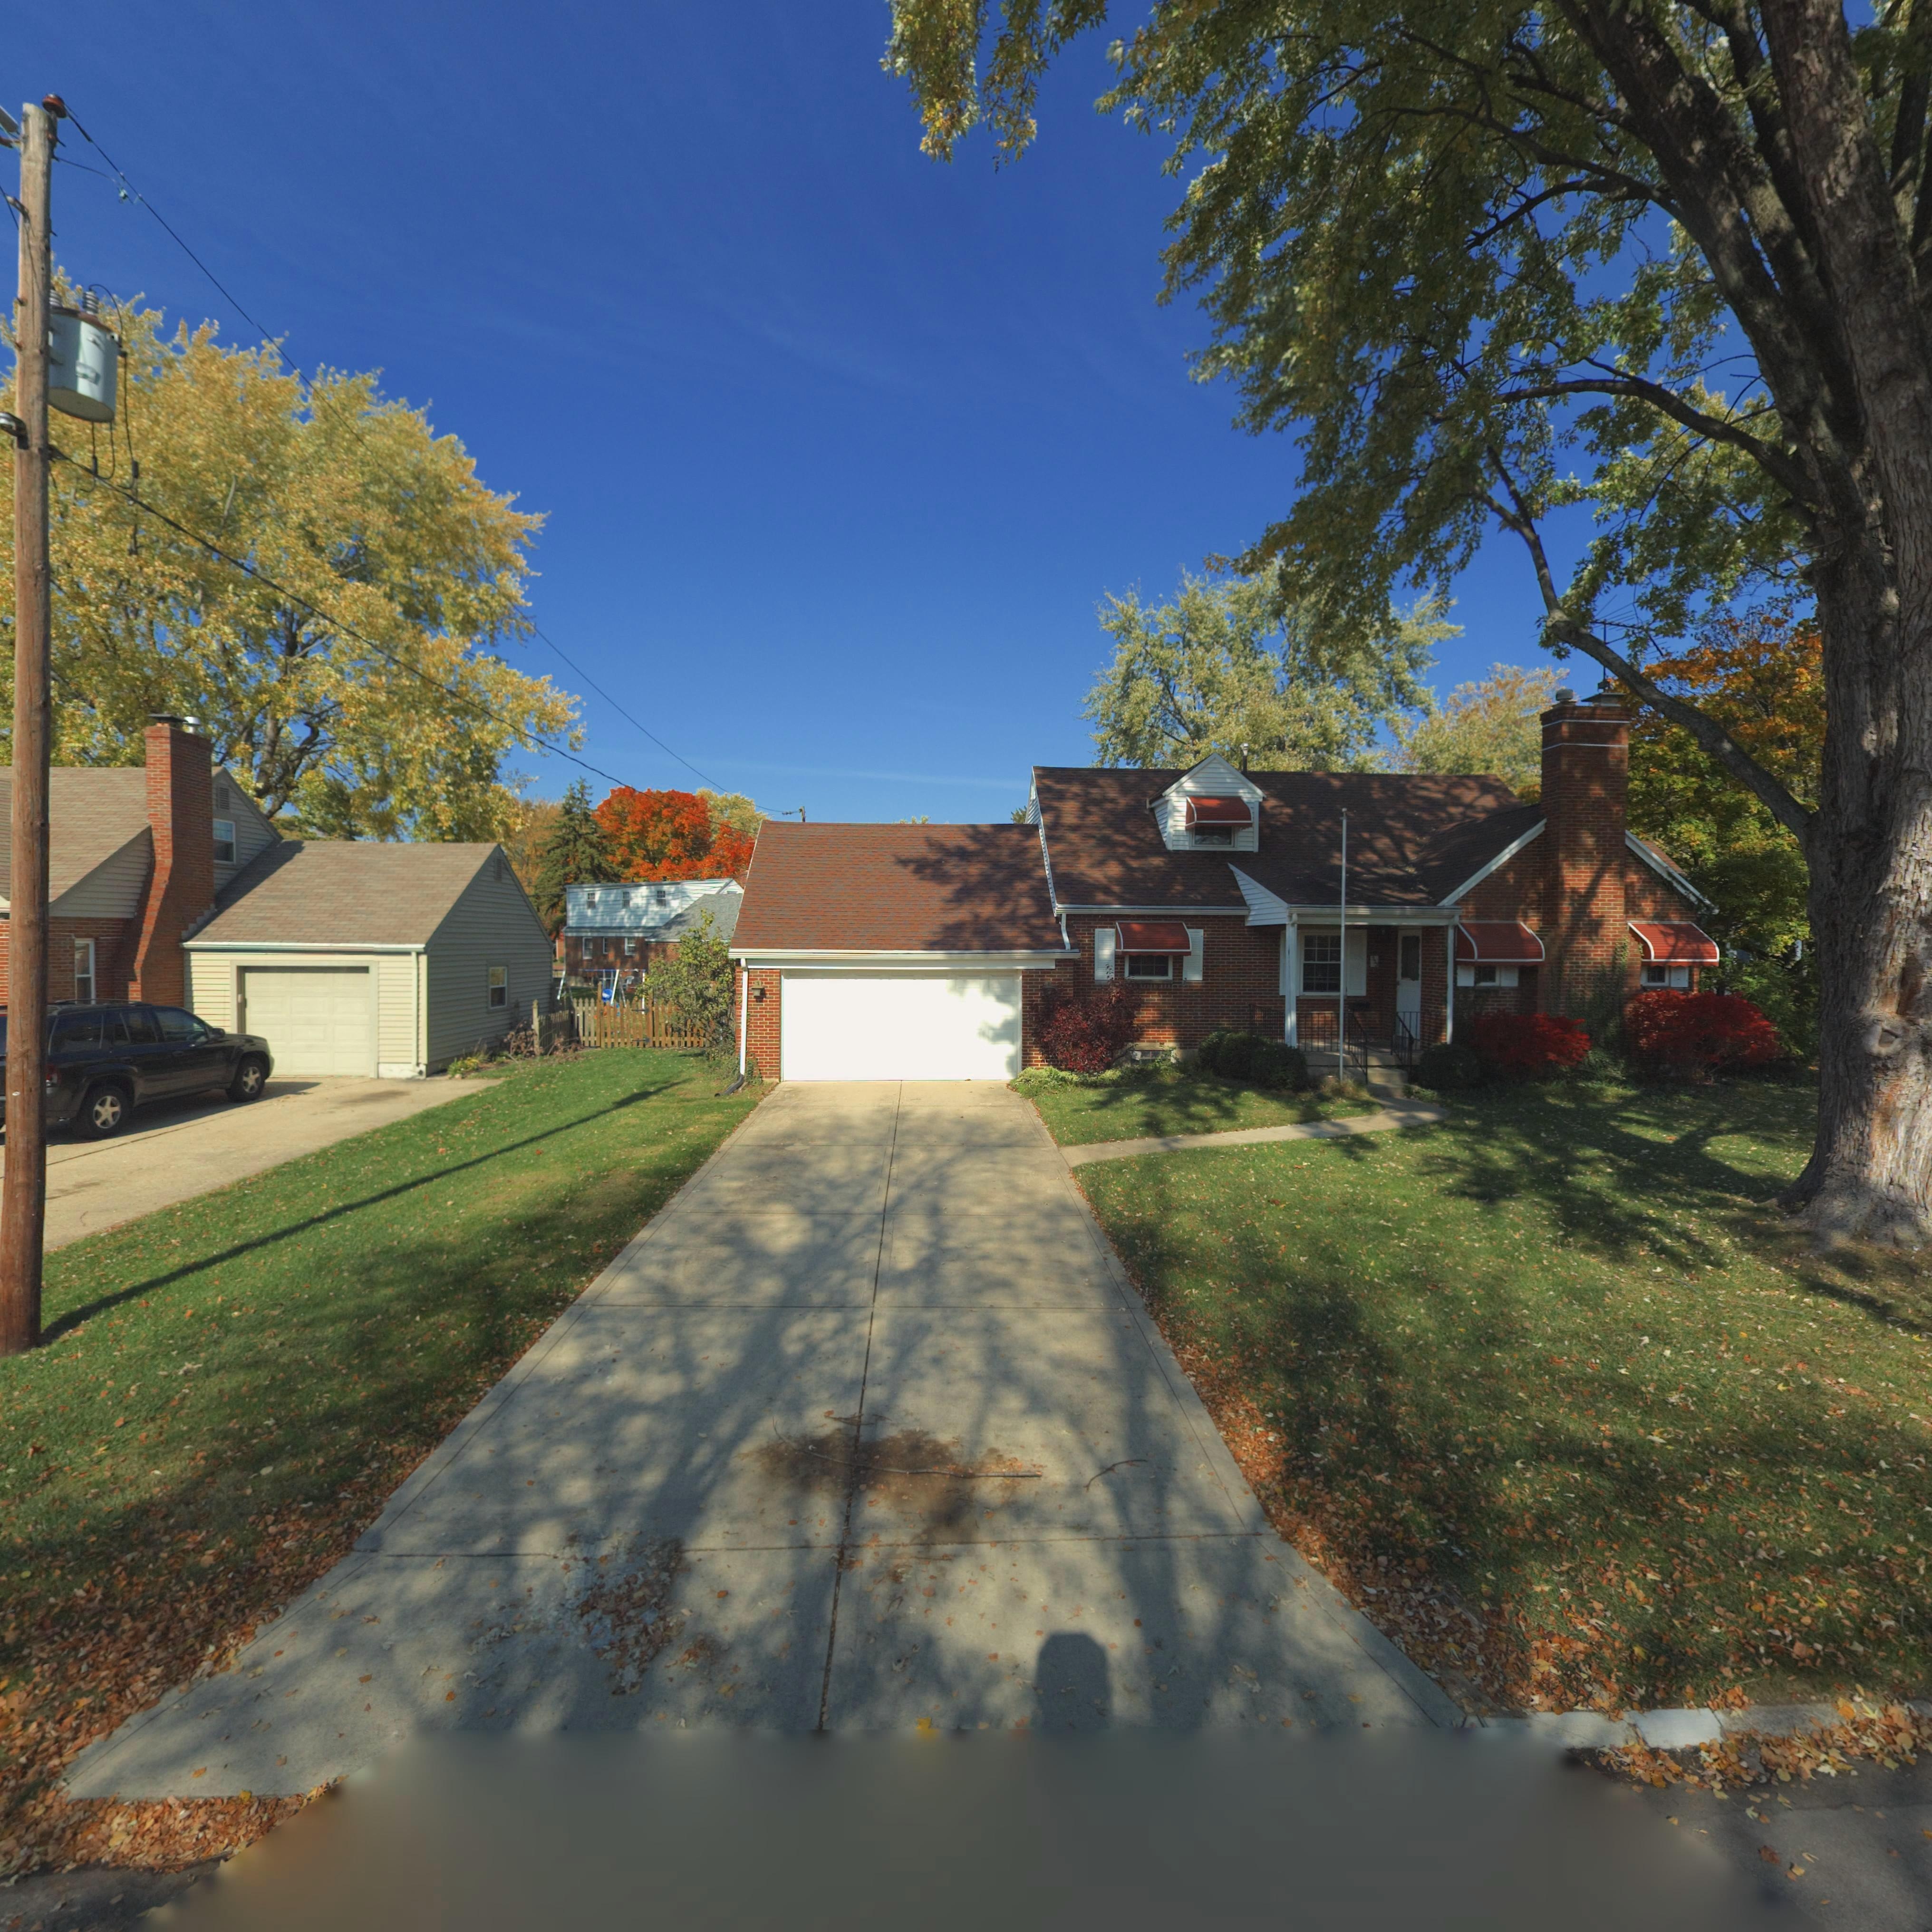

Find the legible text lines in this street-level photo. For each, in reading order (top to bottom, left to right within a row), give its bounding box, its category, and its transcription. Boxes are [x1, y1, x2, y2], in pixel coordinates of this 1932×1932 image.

[1371, 956, 1379, 967] StreetNumber: 5**